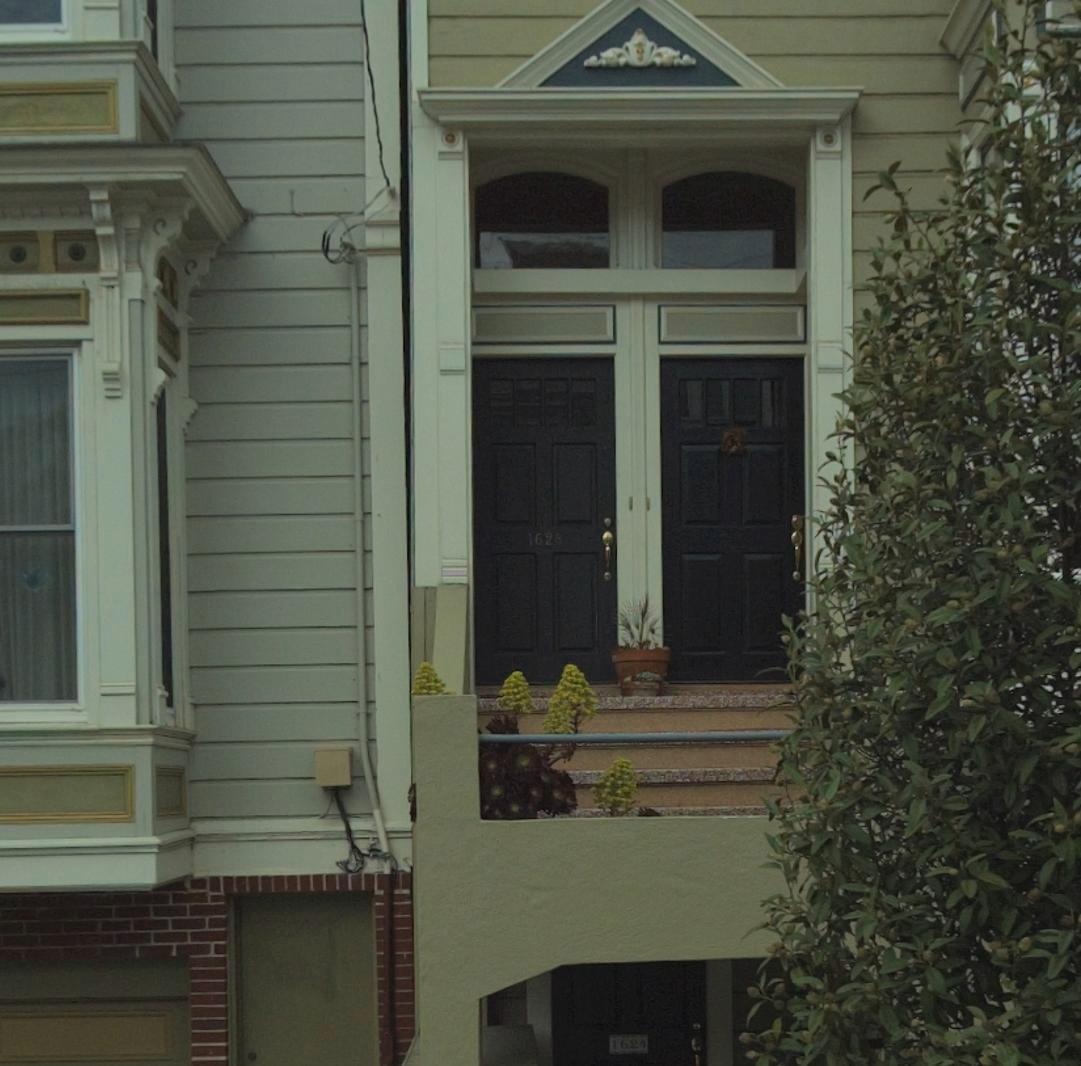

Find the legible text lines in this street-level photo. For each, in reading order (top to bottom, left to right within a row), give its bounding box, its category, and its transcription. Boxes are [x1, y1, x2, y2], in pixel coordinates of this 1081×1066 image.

[528, 531, 564, 547] StreetNumber: 1628
[612, 1036, 649, 1051] StreetNumber: 1624